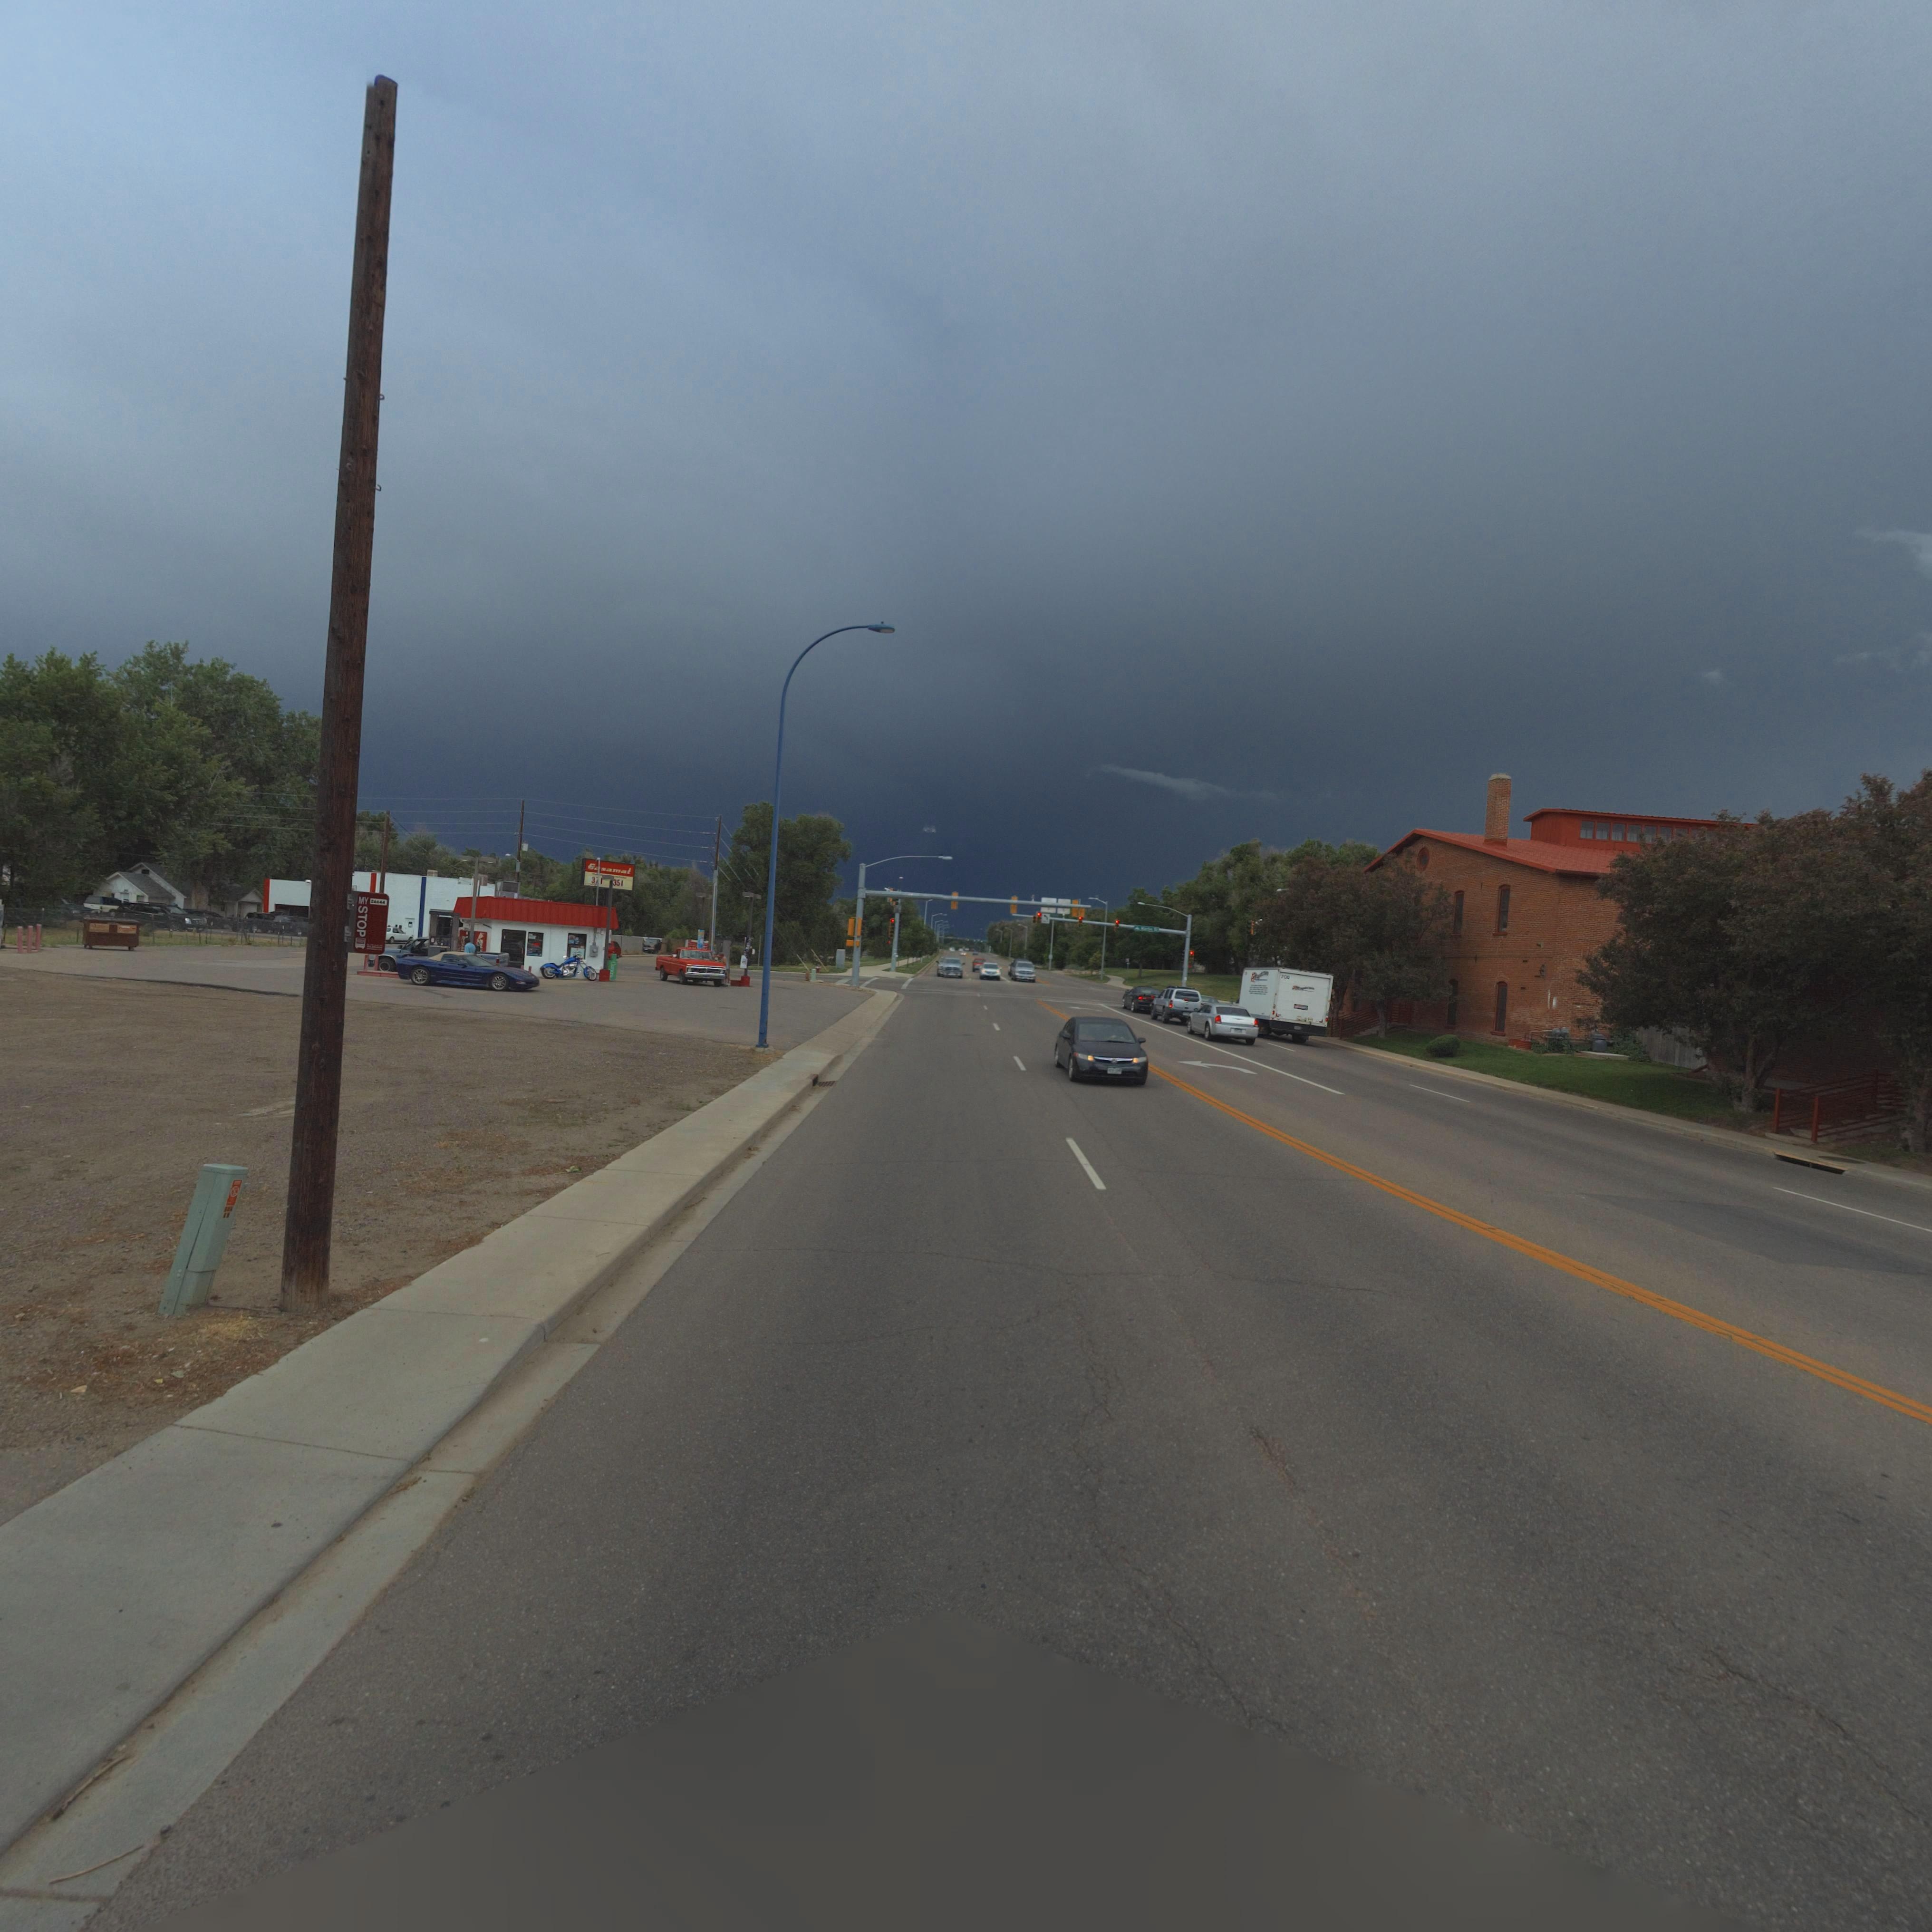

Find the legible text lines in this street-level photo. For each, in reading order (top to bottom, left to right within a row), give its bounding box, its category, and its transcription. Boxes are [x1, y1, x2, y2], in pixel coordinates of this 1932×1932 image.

[587, 863, 631, 874] BusinessName: Gasamat
[1140, 927, 1158, 931] StreetName: M*rt*n S*